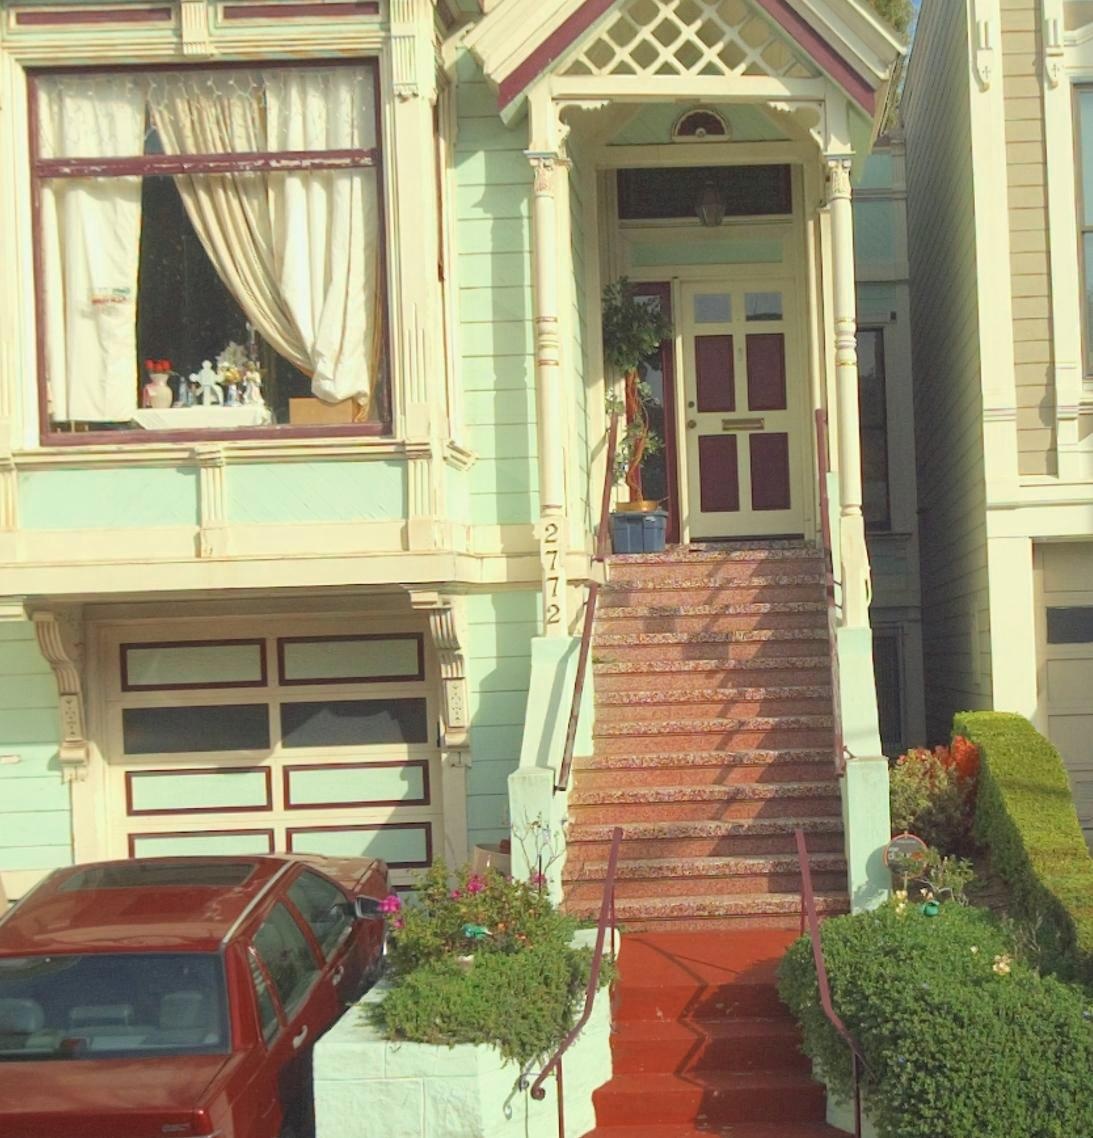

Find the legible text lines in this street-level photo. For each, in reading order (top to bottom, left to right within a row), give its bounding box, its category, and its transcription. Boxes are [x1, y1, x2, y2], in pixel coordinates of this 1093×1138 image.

[544, 519, 562, 628] StreetNumber: 2772